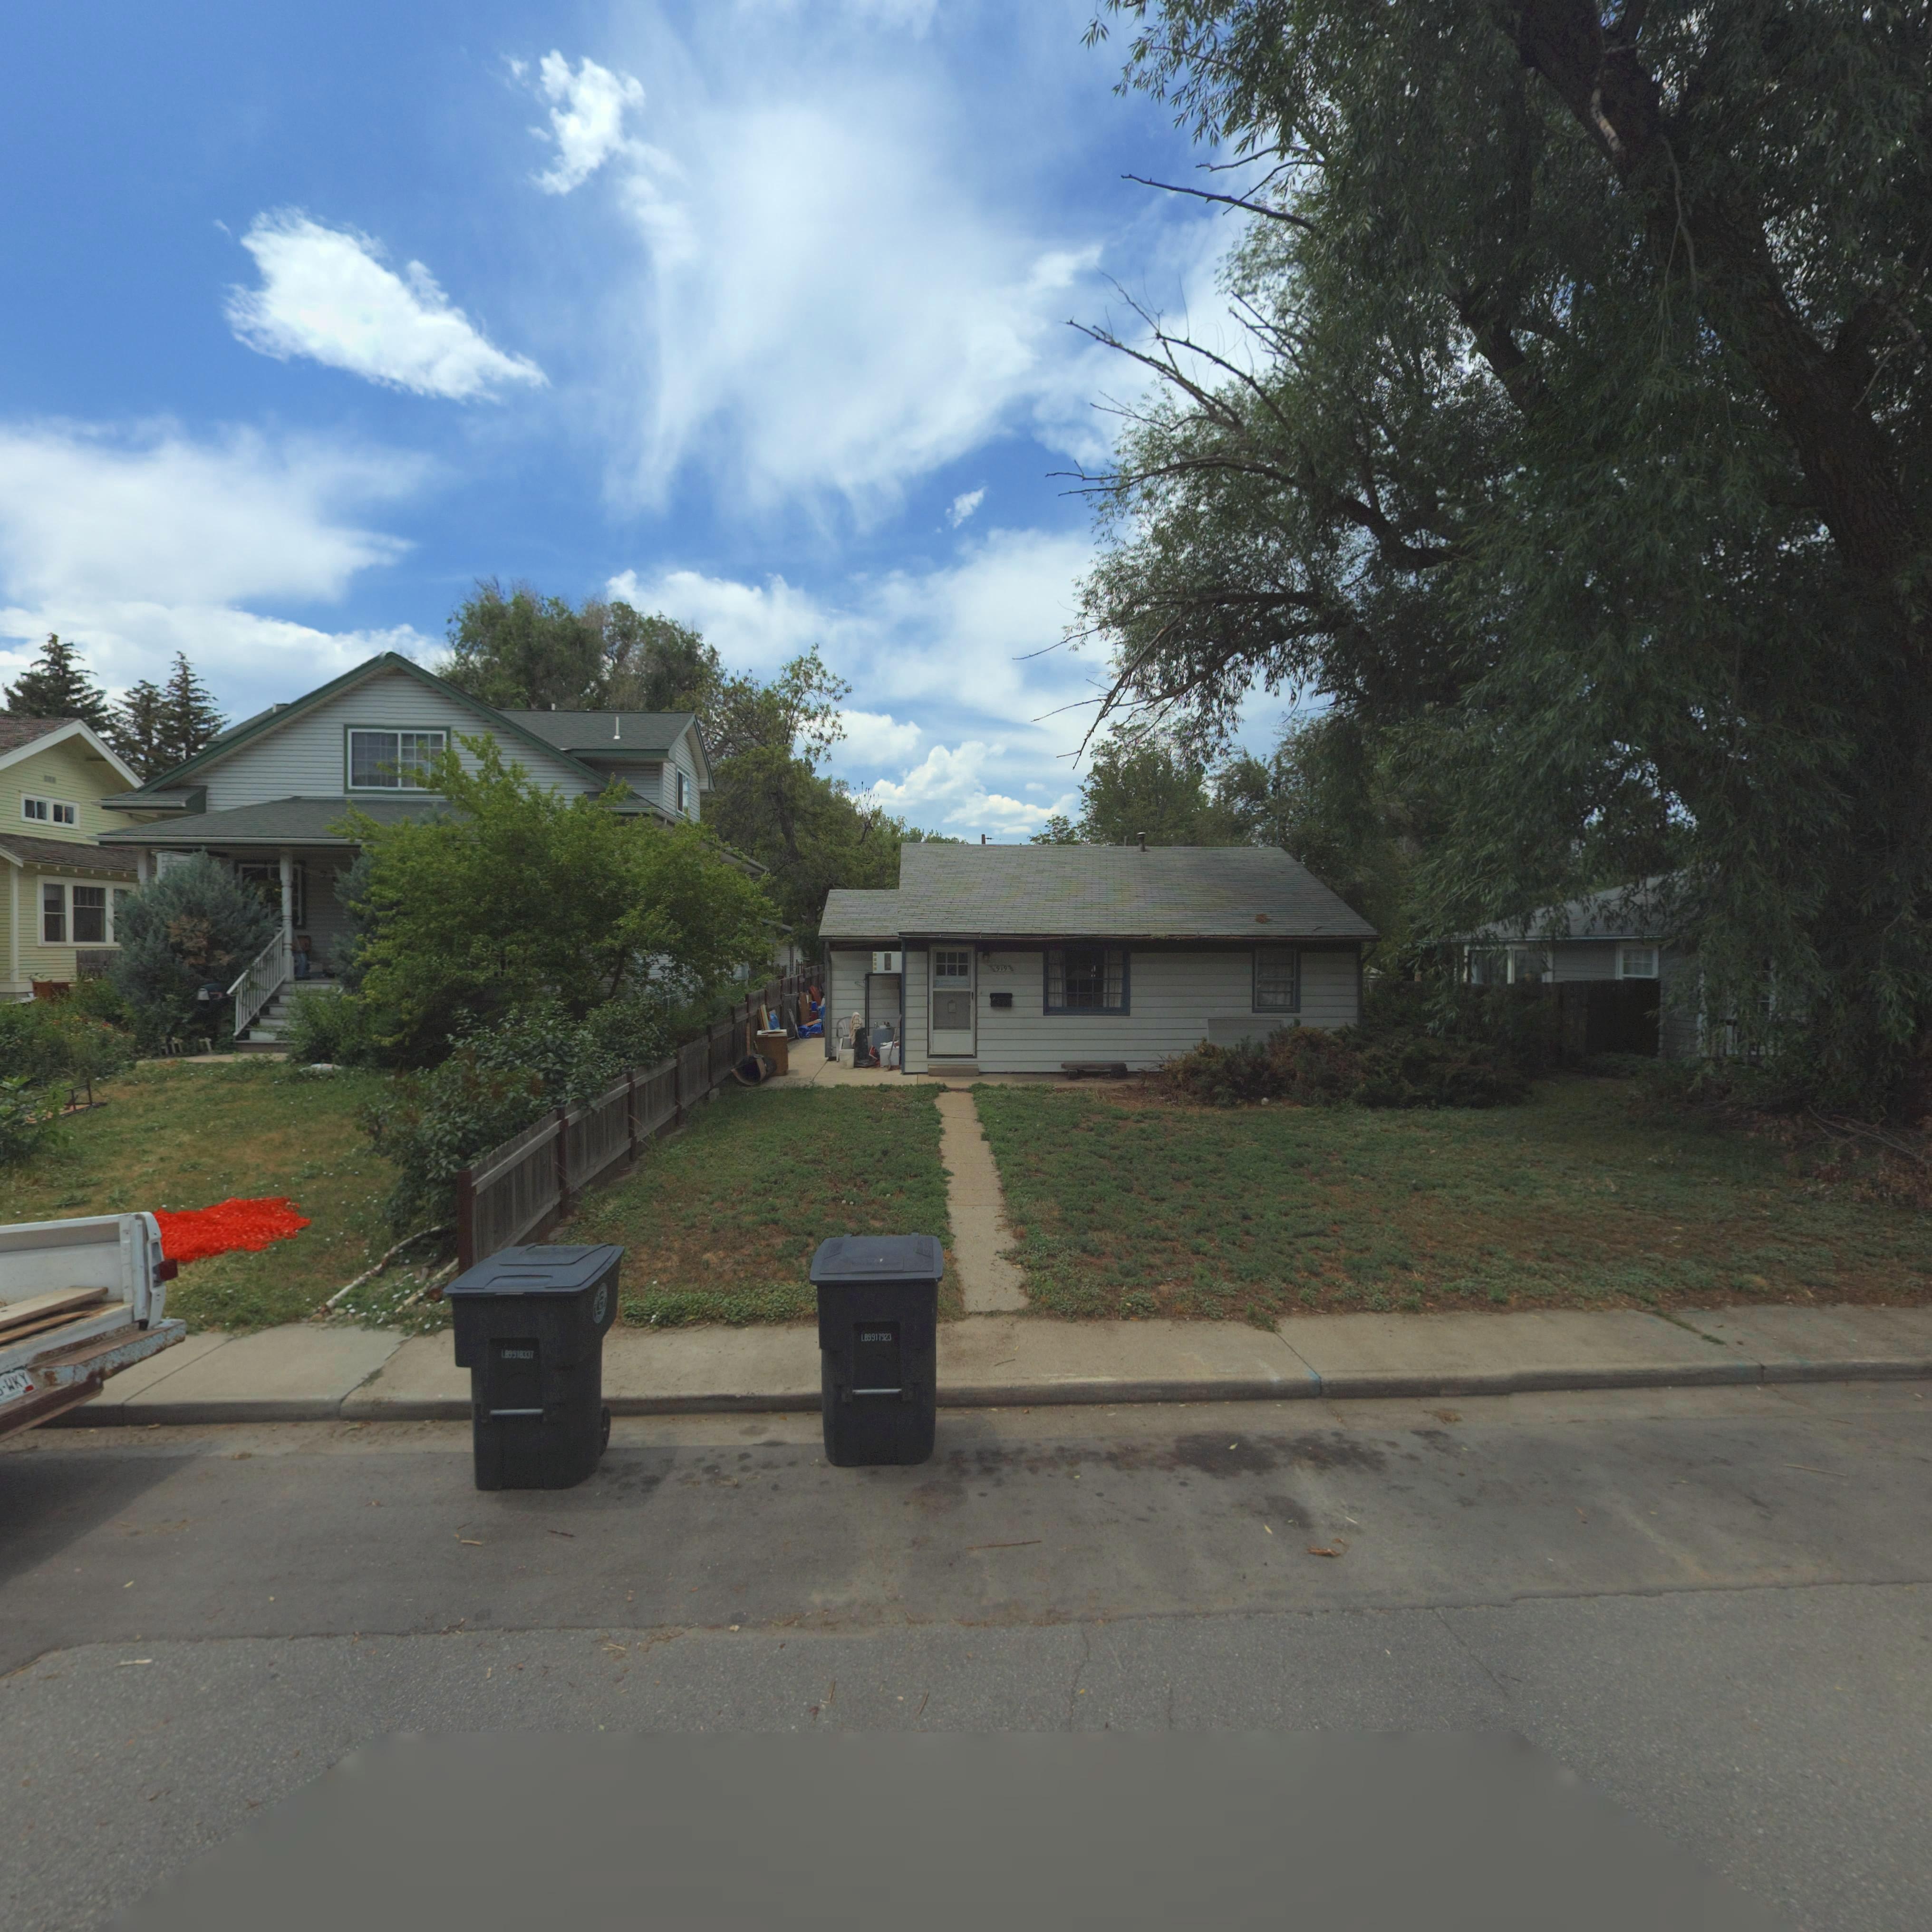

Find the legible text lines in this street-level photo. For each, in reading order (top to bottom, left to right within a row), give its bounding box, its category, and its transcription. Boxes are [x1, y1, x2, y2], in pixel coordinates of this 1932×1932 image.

[995, 965, 1008, 972] StreetNumber: 919